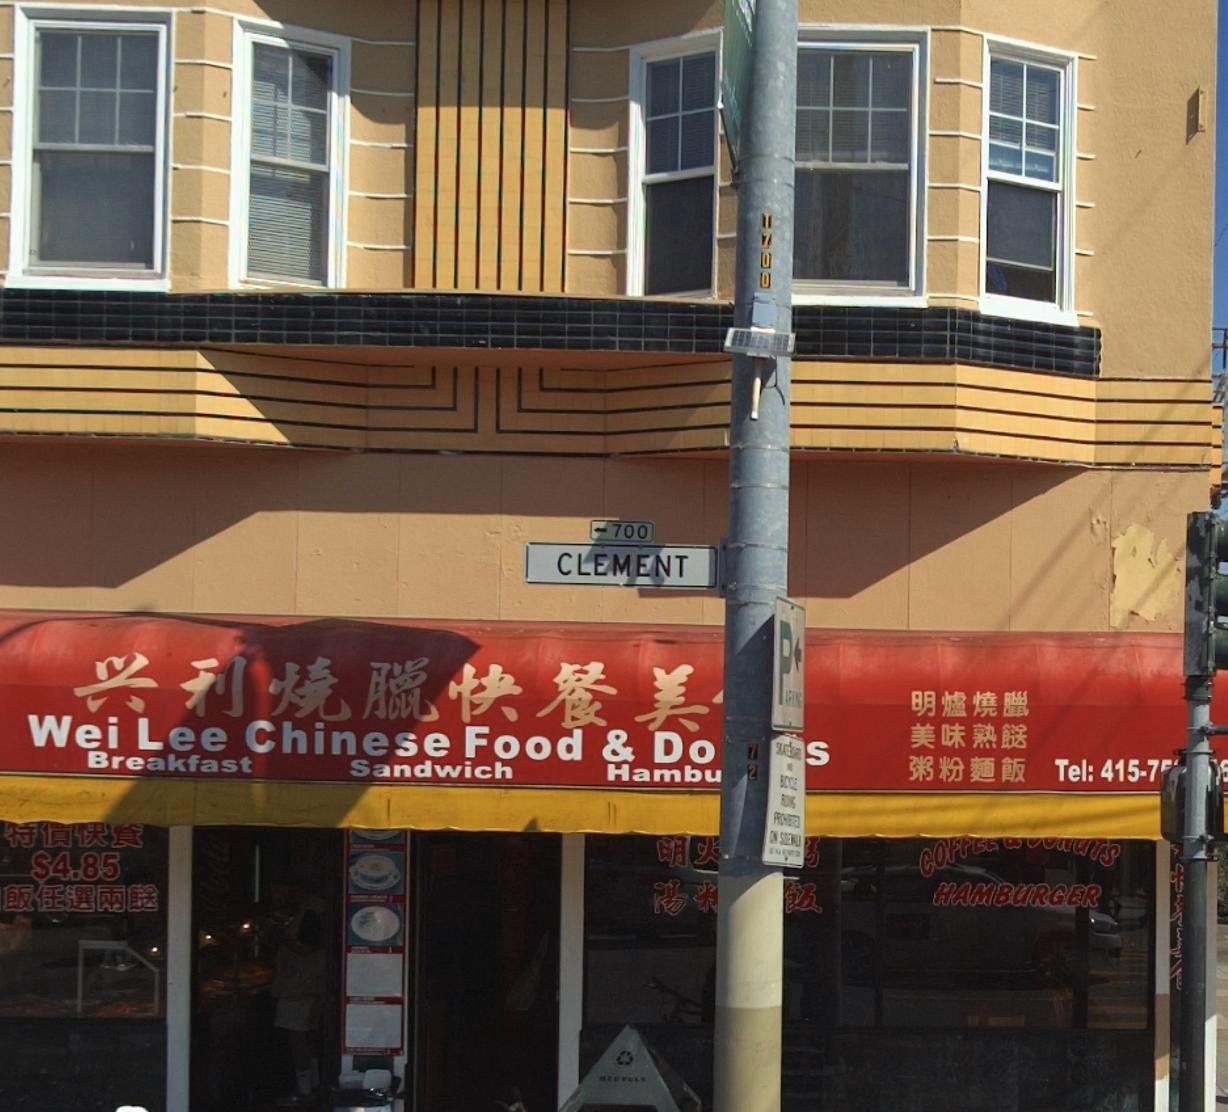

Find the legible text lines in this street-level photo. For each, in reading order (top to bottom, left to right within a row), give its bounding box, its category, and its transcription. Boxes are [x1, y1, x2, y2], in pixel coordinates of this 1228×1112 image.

[757, 210, 774, 290] None: T700
[590, 522, 653, 545] StreetNumberRange: <-700
[556, 550, 689, 581] StreetName: CLEMENT
[775, 615, 803, 716] None: PARKING
[85, 749, 255, 778] None: Breakfast
[24, 709, 716, 766] BusinessName: Wei Lee Chinese Food & Do
[345, 755, 515, 783] None: Sandwich
[604, 759, 724, 787] None: Hambu
[803, 736, 834, 771] None: s
[1052, 754, 1162, 788] None: Tel: 415-7
[23, 844, 123, 886] None: $4.85
[903, 827, 971, 883] None: COF*
[924, 878, 1111, 910] None: HAMBURGER
[598, 1073, 649, 1085] None: RECYCLE